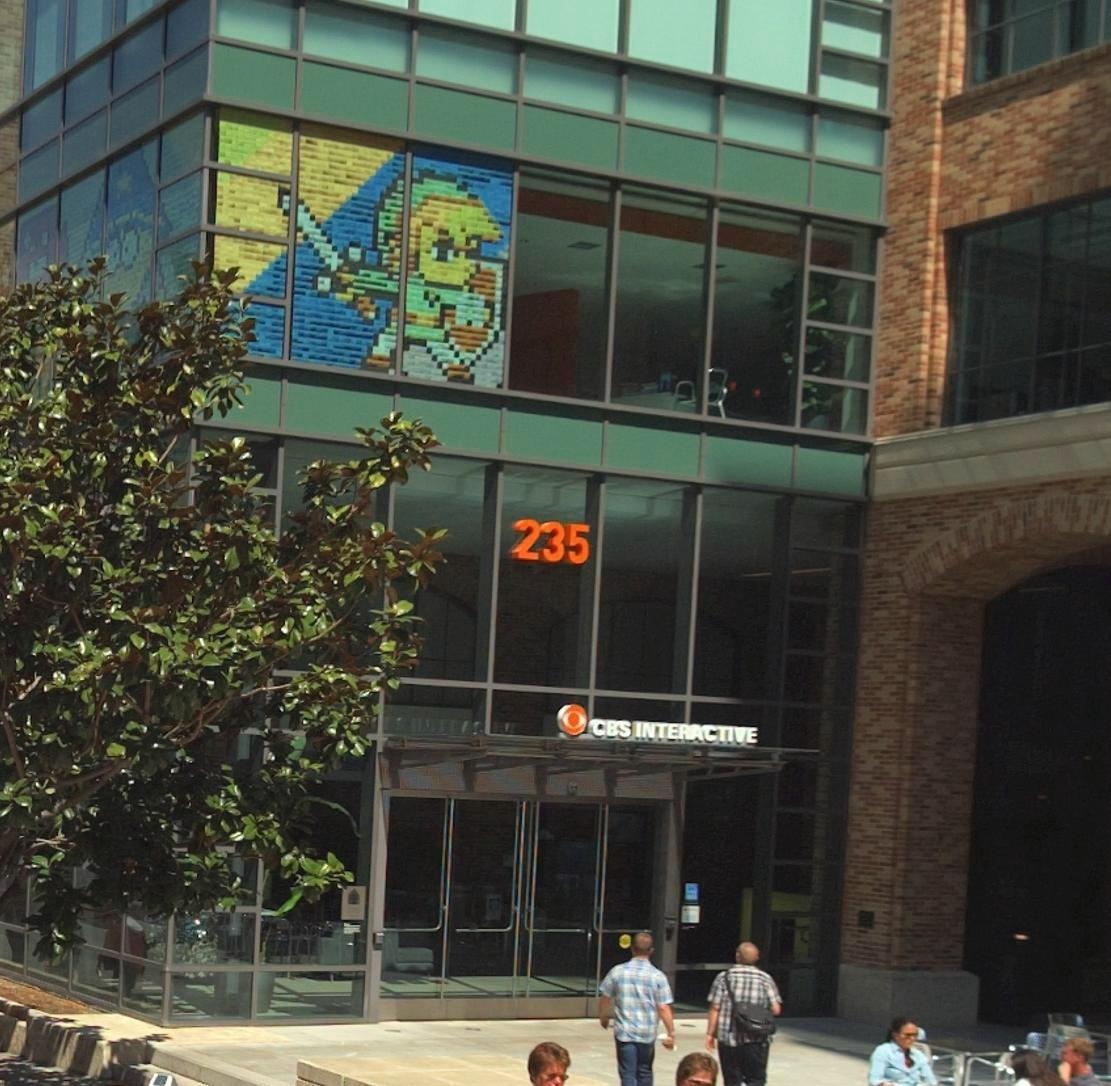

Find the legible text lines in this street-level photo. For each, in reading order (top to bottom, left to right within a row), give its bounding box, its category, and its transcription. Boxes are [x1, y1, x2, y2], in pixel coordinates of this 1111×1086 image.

[506, 516, 593, 567] StreetNumber: 235
[589, 717, 759, 746] BusinessName: CBS INTERACTIVE